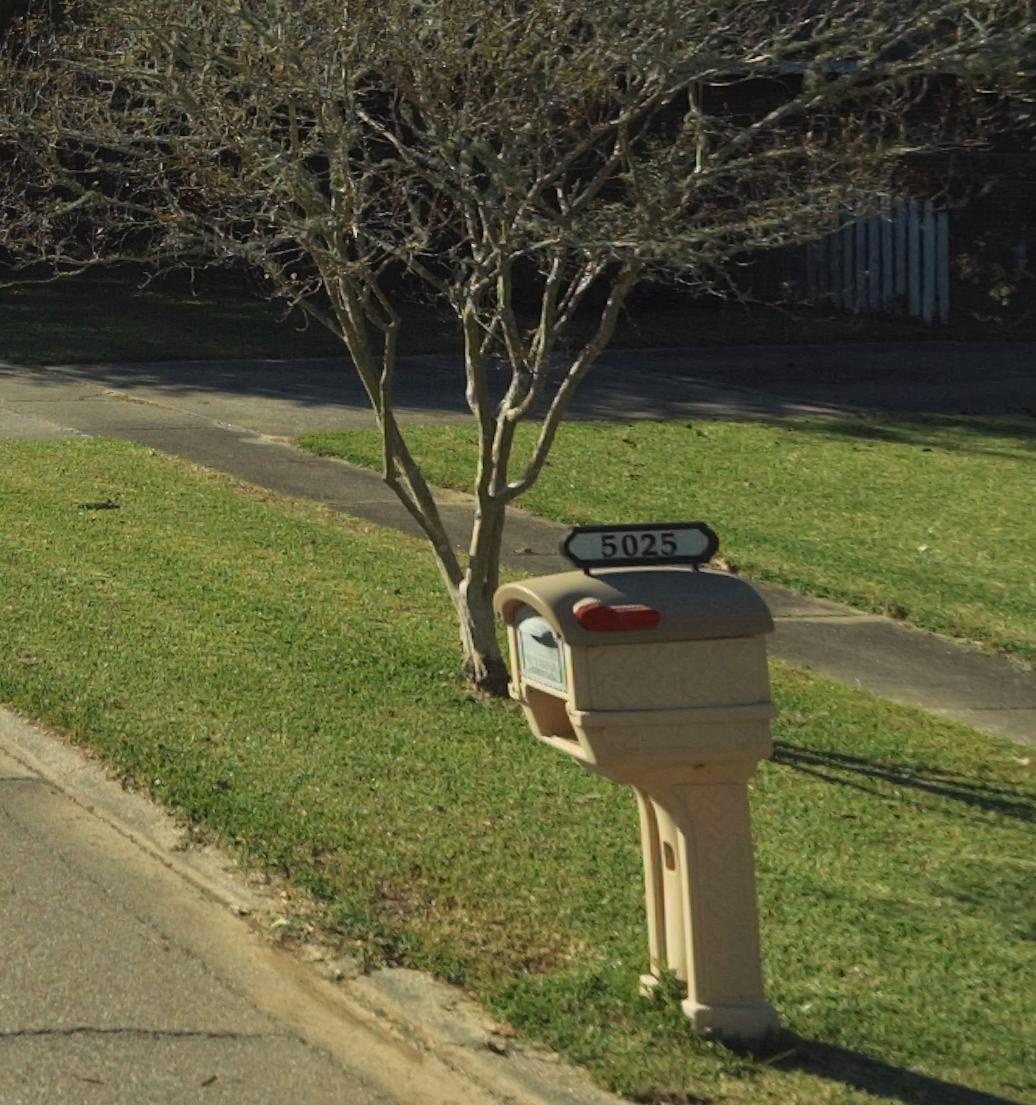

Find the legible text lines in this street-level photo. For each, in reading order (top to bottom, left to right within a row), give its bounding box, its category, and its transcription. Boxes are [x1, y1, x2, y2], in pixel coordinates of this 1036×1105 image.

[597, 530, 680, 560] StreetNumber: 5025